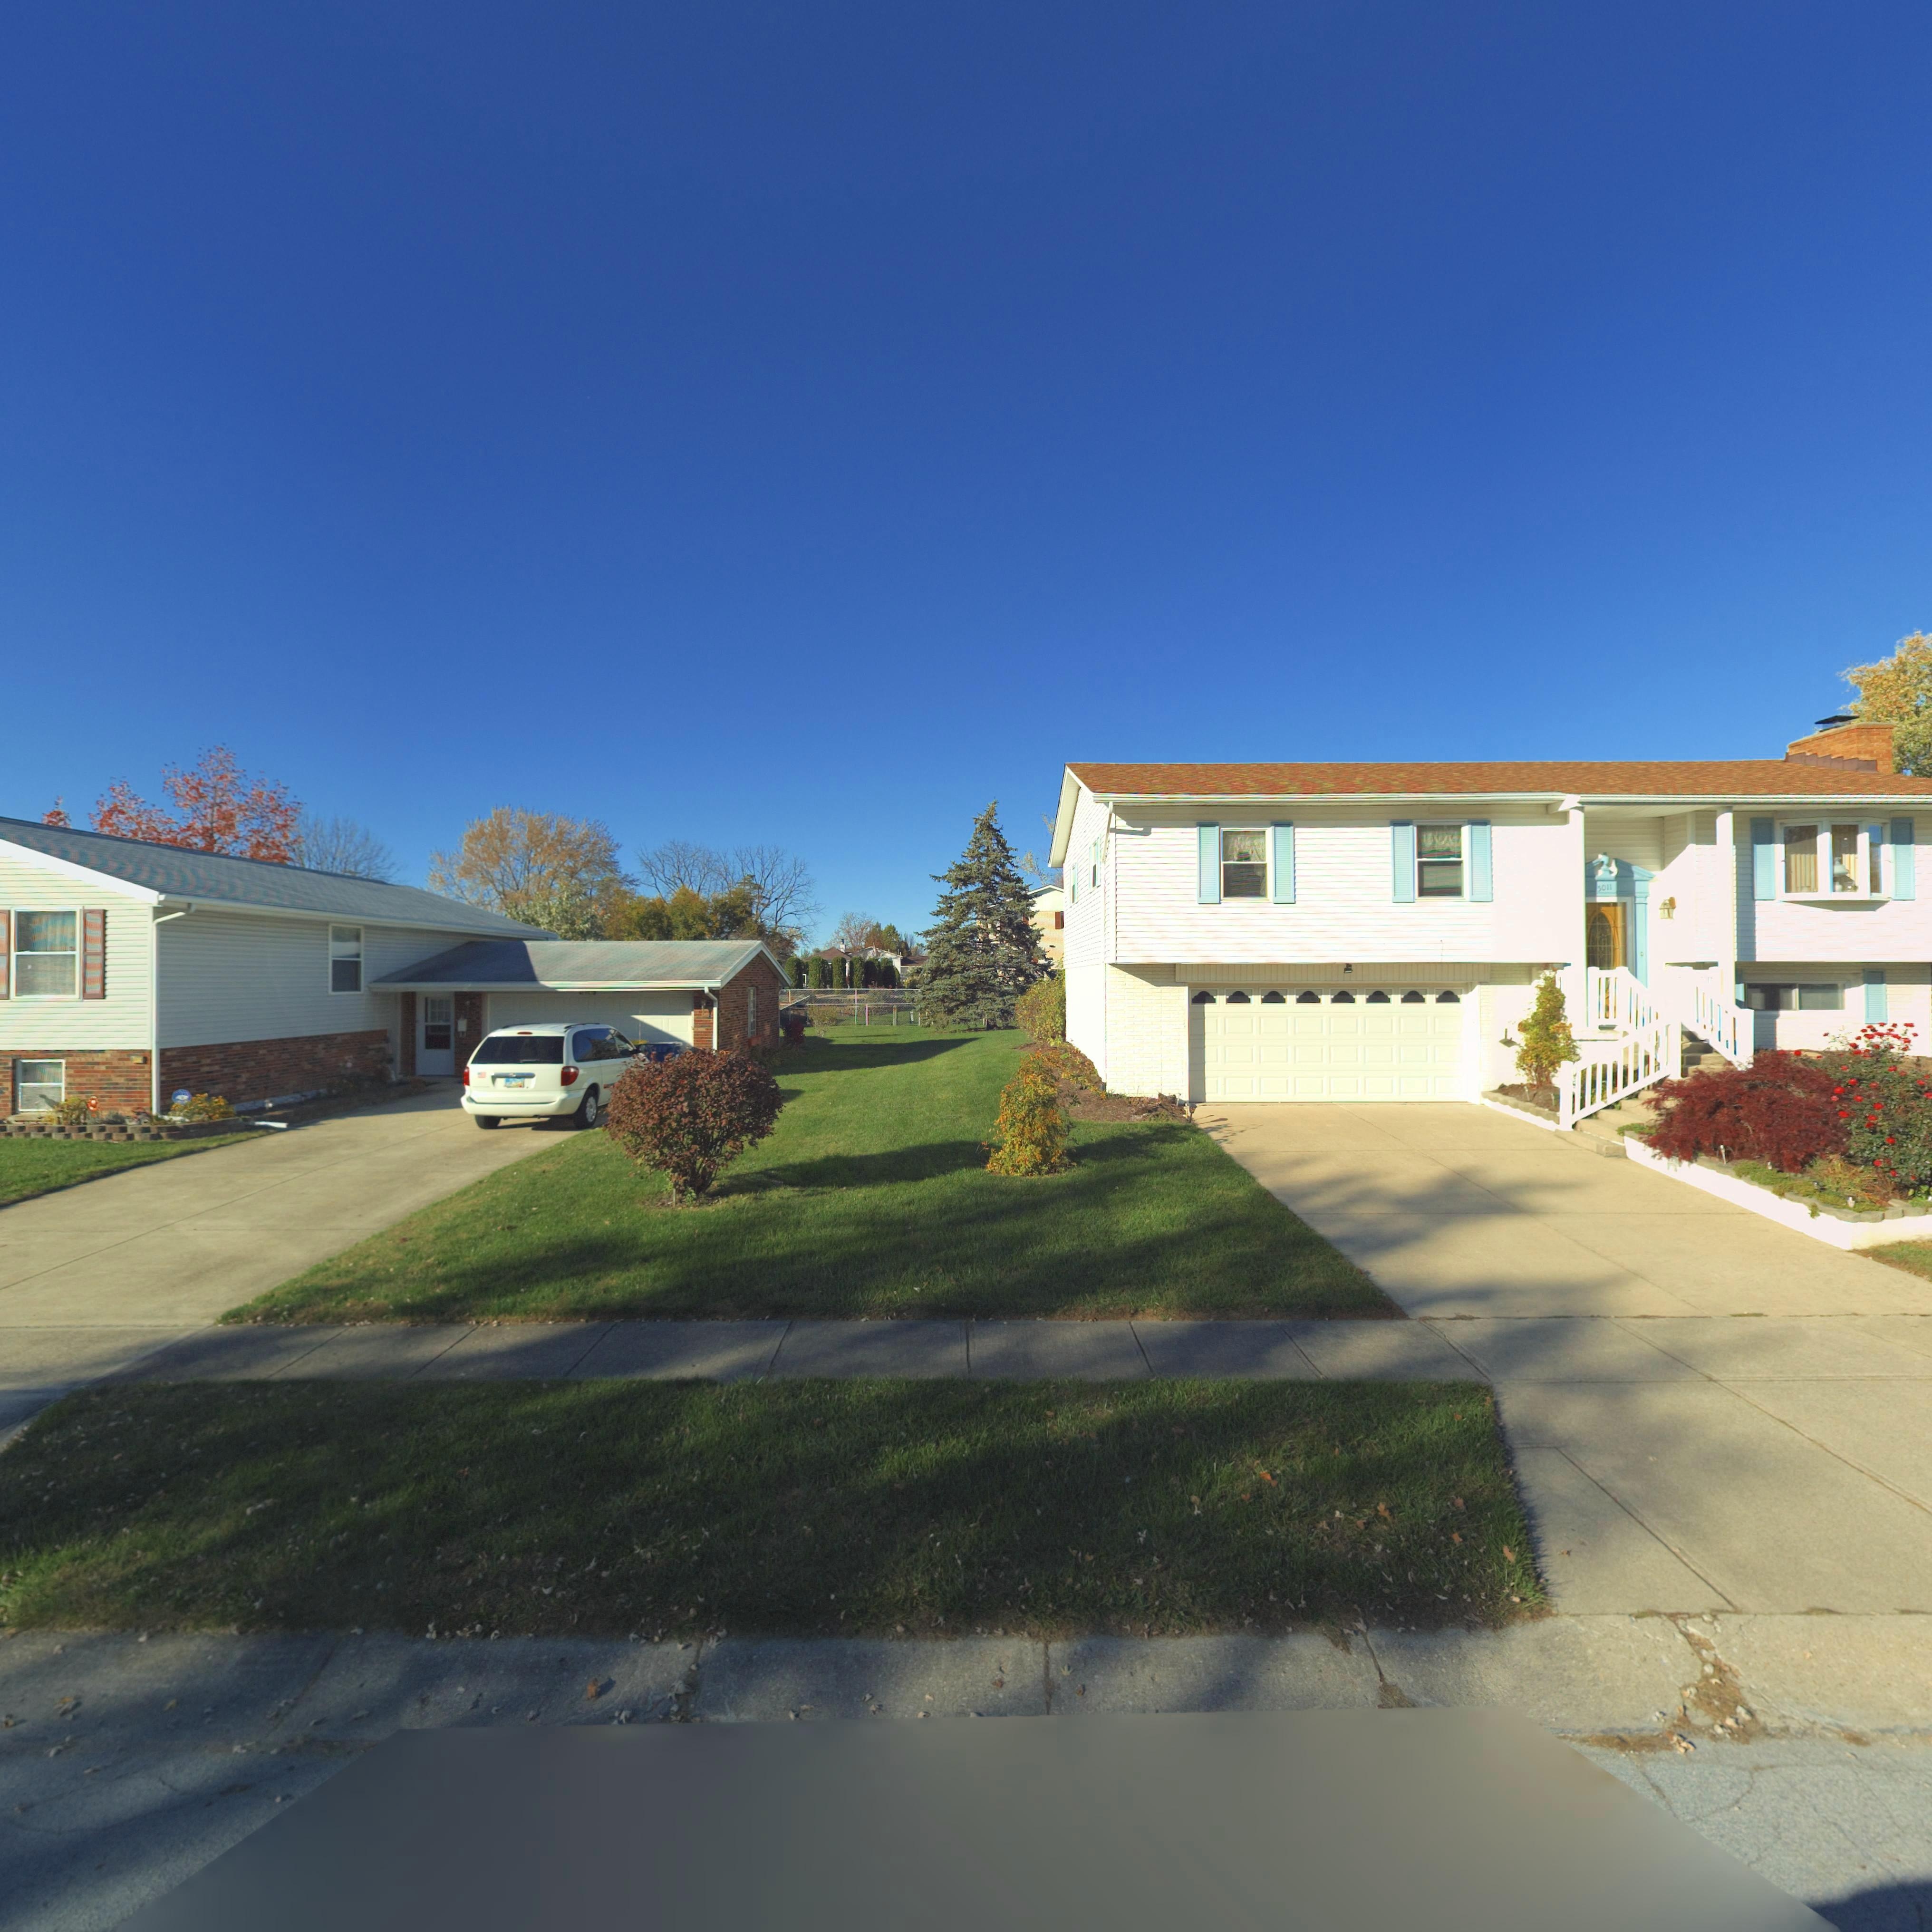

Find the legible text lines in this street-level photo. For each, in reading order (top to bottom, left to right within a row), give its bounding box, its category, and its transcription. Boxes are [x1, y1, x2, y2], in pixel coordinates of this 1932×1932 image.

[1596, 883, 1613, 893] StreetNumber: 5011